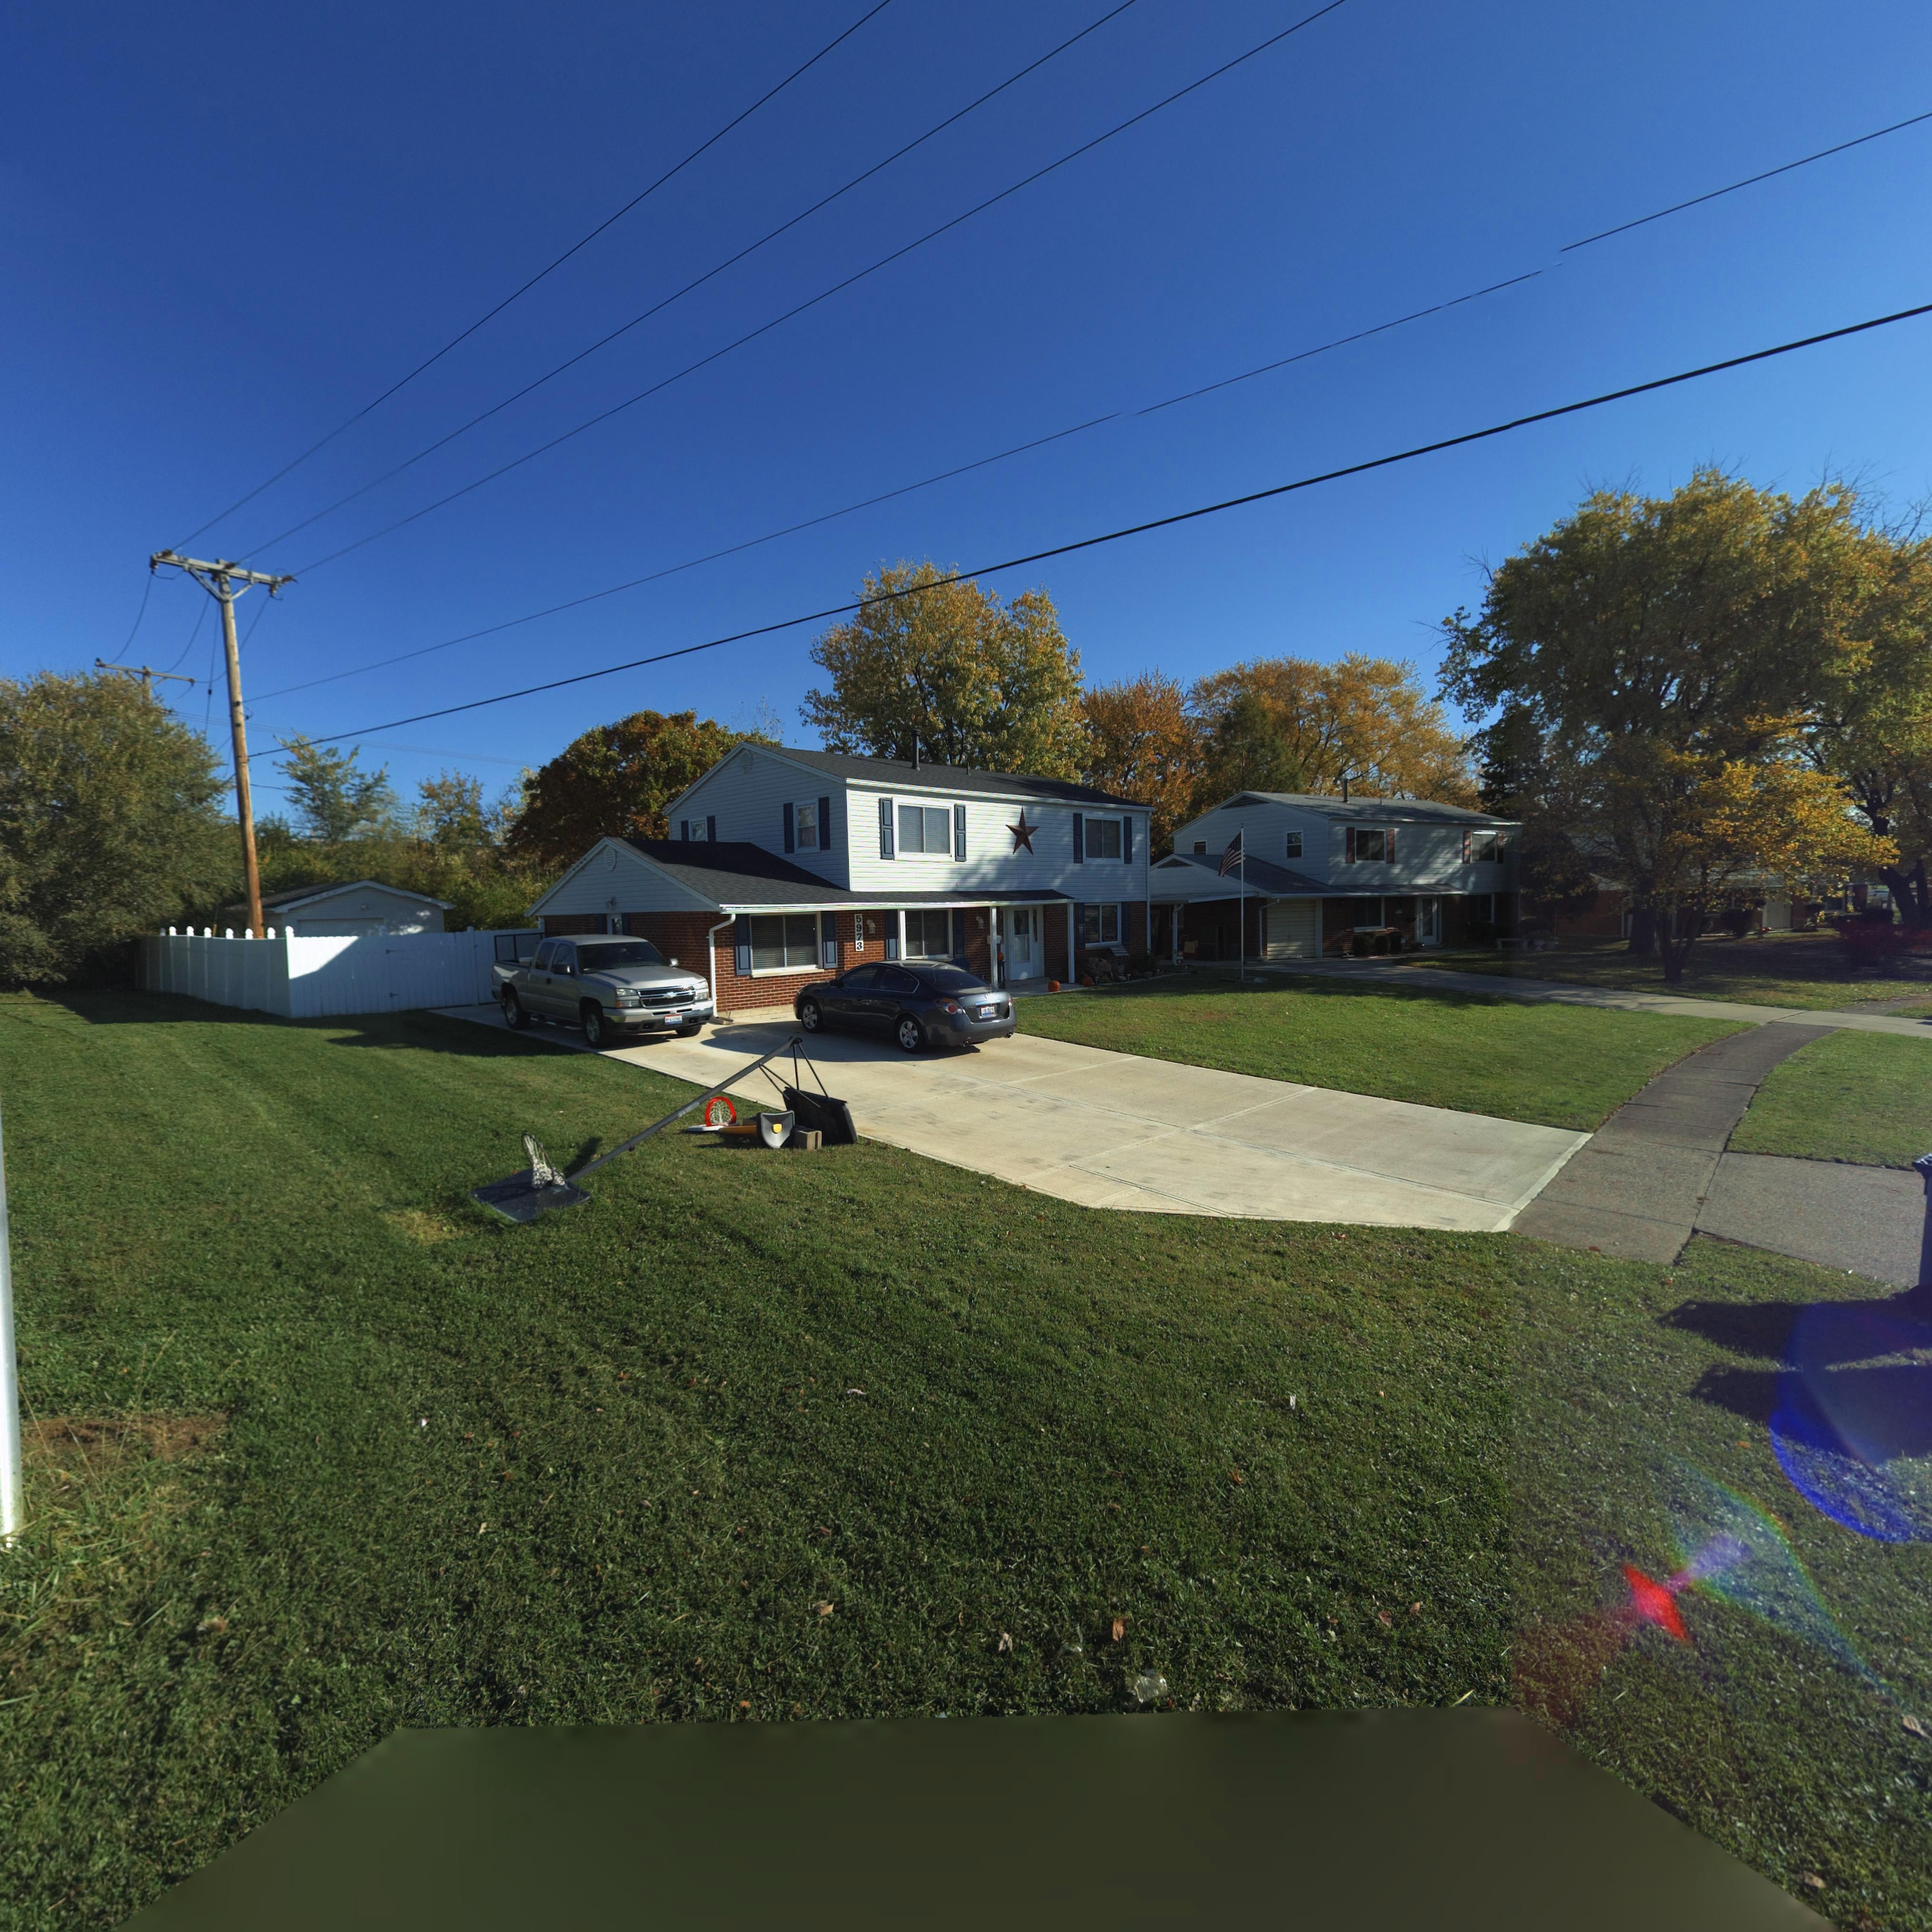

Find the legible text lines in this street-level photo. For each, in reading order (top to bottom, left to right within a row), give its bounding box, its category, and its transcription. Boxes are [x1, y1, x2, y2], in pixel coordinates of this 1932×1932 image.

[855, 914, 864, 951] StreetNumber: 5973